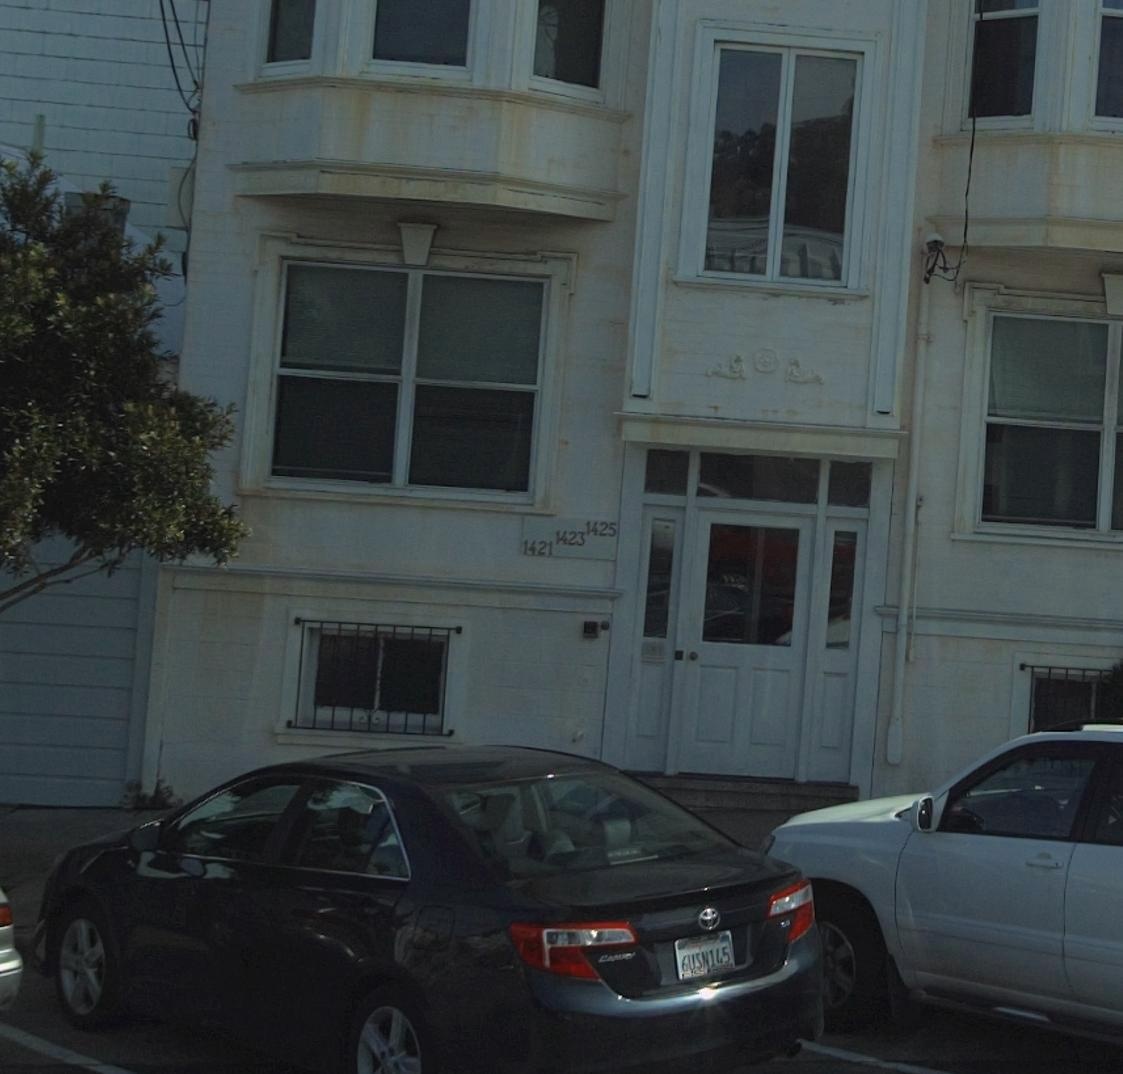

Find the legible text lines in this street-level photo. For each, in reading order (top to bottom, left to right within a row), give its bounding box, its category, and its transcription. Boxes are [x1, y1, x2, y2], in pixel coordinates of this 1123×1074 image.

[522, 538, 554, 557] StreetNumber: 1421
[554, 529, 586, 546] StreetNumber: 1423
[585, 518, 618, 539] StreetNumber: 1425
[679, 943, 732, 976] None: 6USN1*5